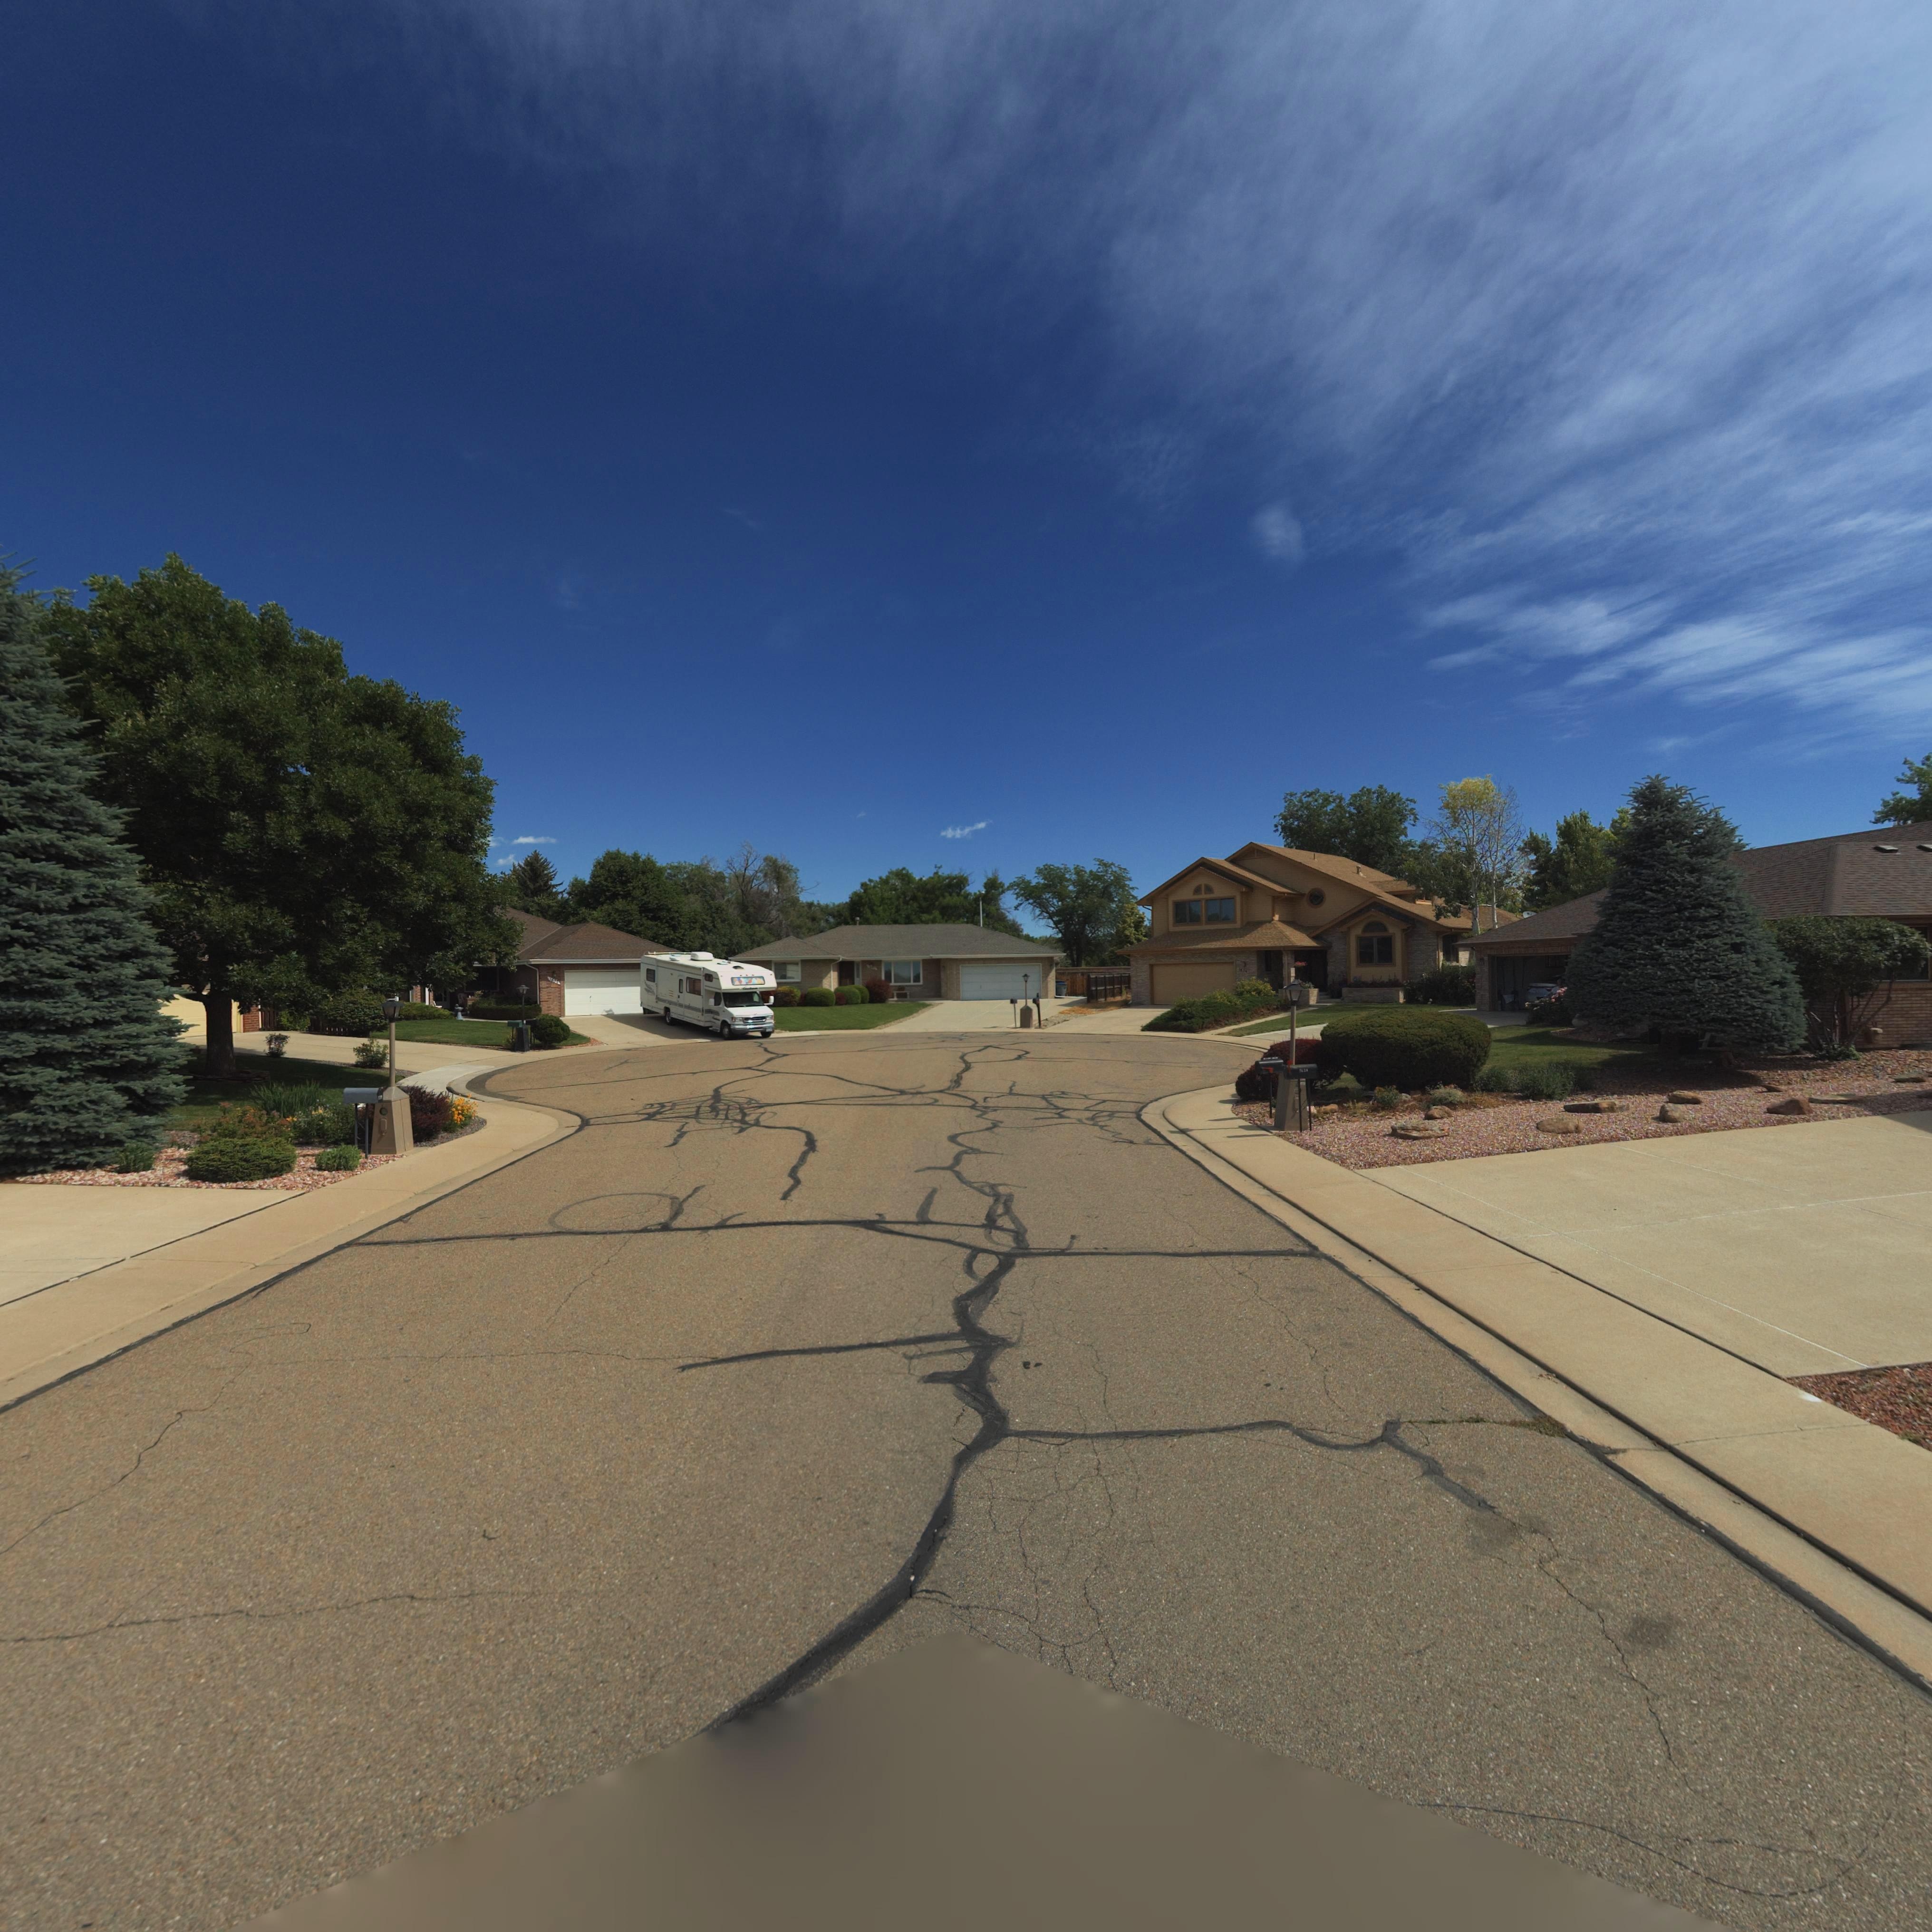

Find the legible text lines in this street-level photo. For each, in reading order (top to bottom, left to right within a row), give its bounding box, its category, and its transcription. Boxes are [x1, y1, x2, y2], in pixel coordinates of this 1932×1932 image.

[549, 977, 559, 984] StreetNumber: 16**
[1298, 1068, 1308, 1072] StreetNumber: 162*